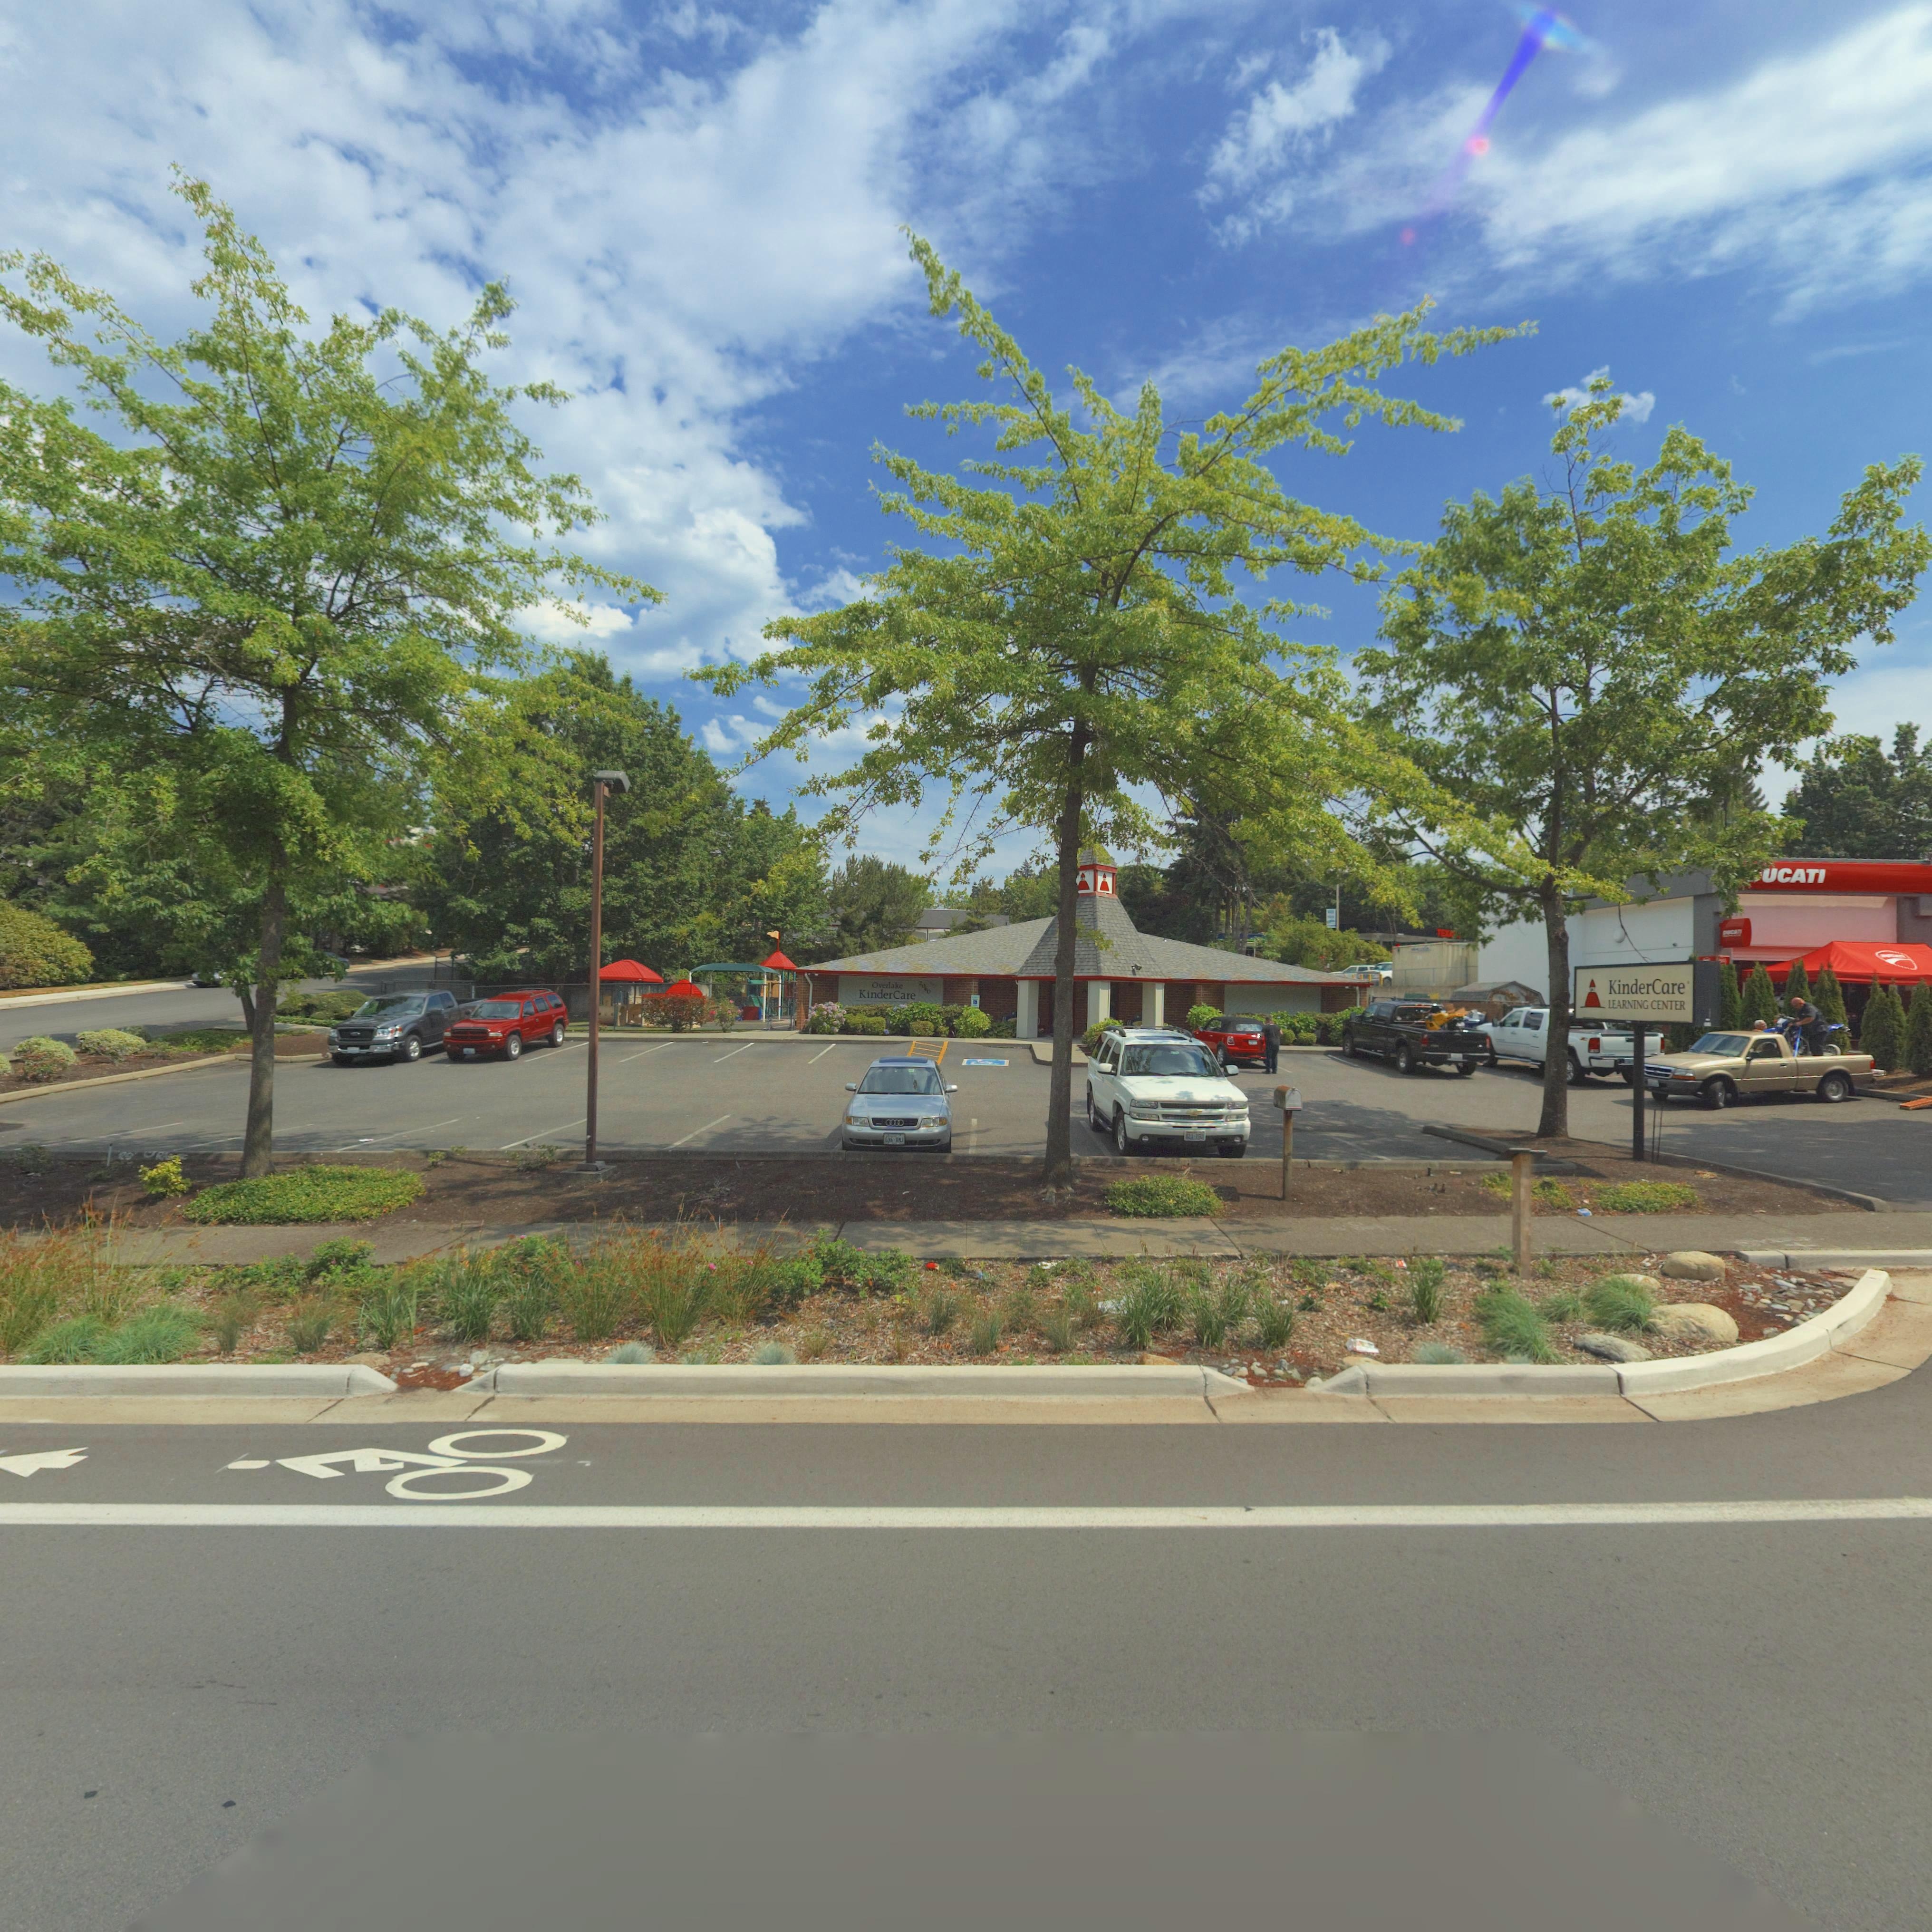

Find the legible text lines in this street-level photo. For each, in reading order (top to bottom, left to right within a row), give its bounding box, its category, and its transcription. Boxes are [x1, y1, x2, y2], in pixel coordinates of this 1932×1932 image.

[1761, 867, 1826, 883] BusinessName: *UCATI
[859, 987, 916, 1000] BusinessName: KinderCare
[917, 978, 934, 995] StreetNumber: 2060
[1609, 978, 1685, 995] BusinessName: KinderCare